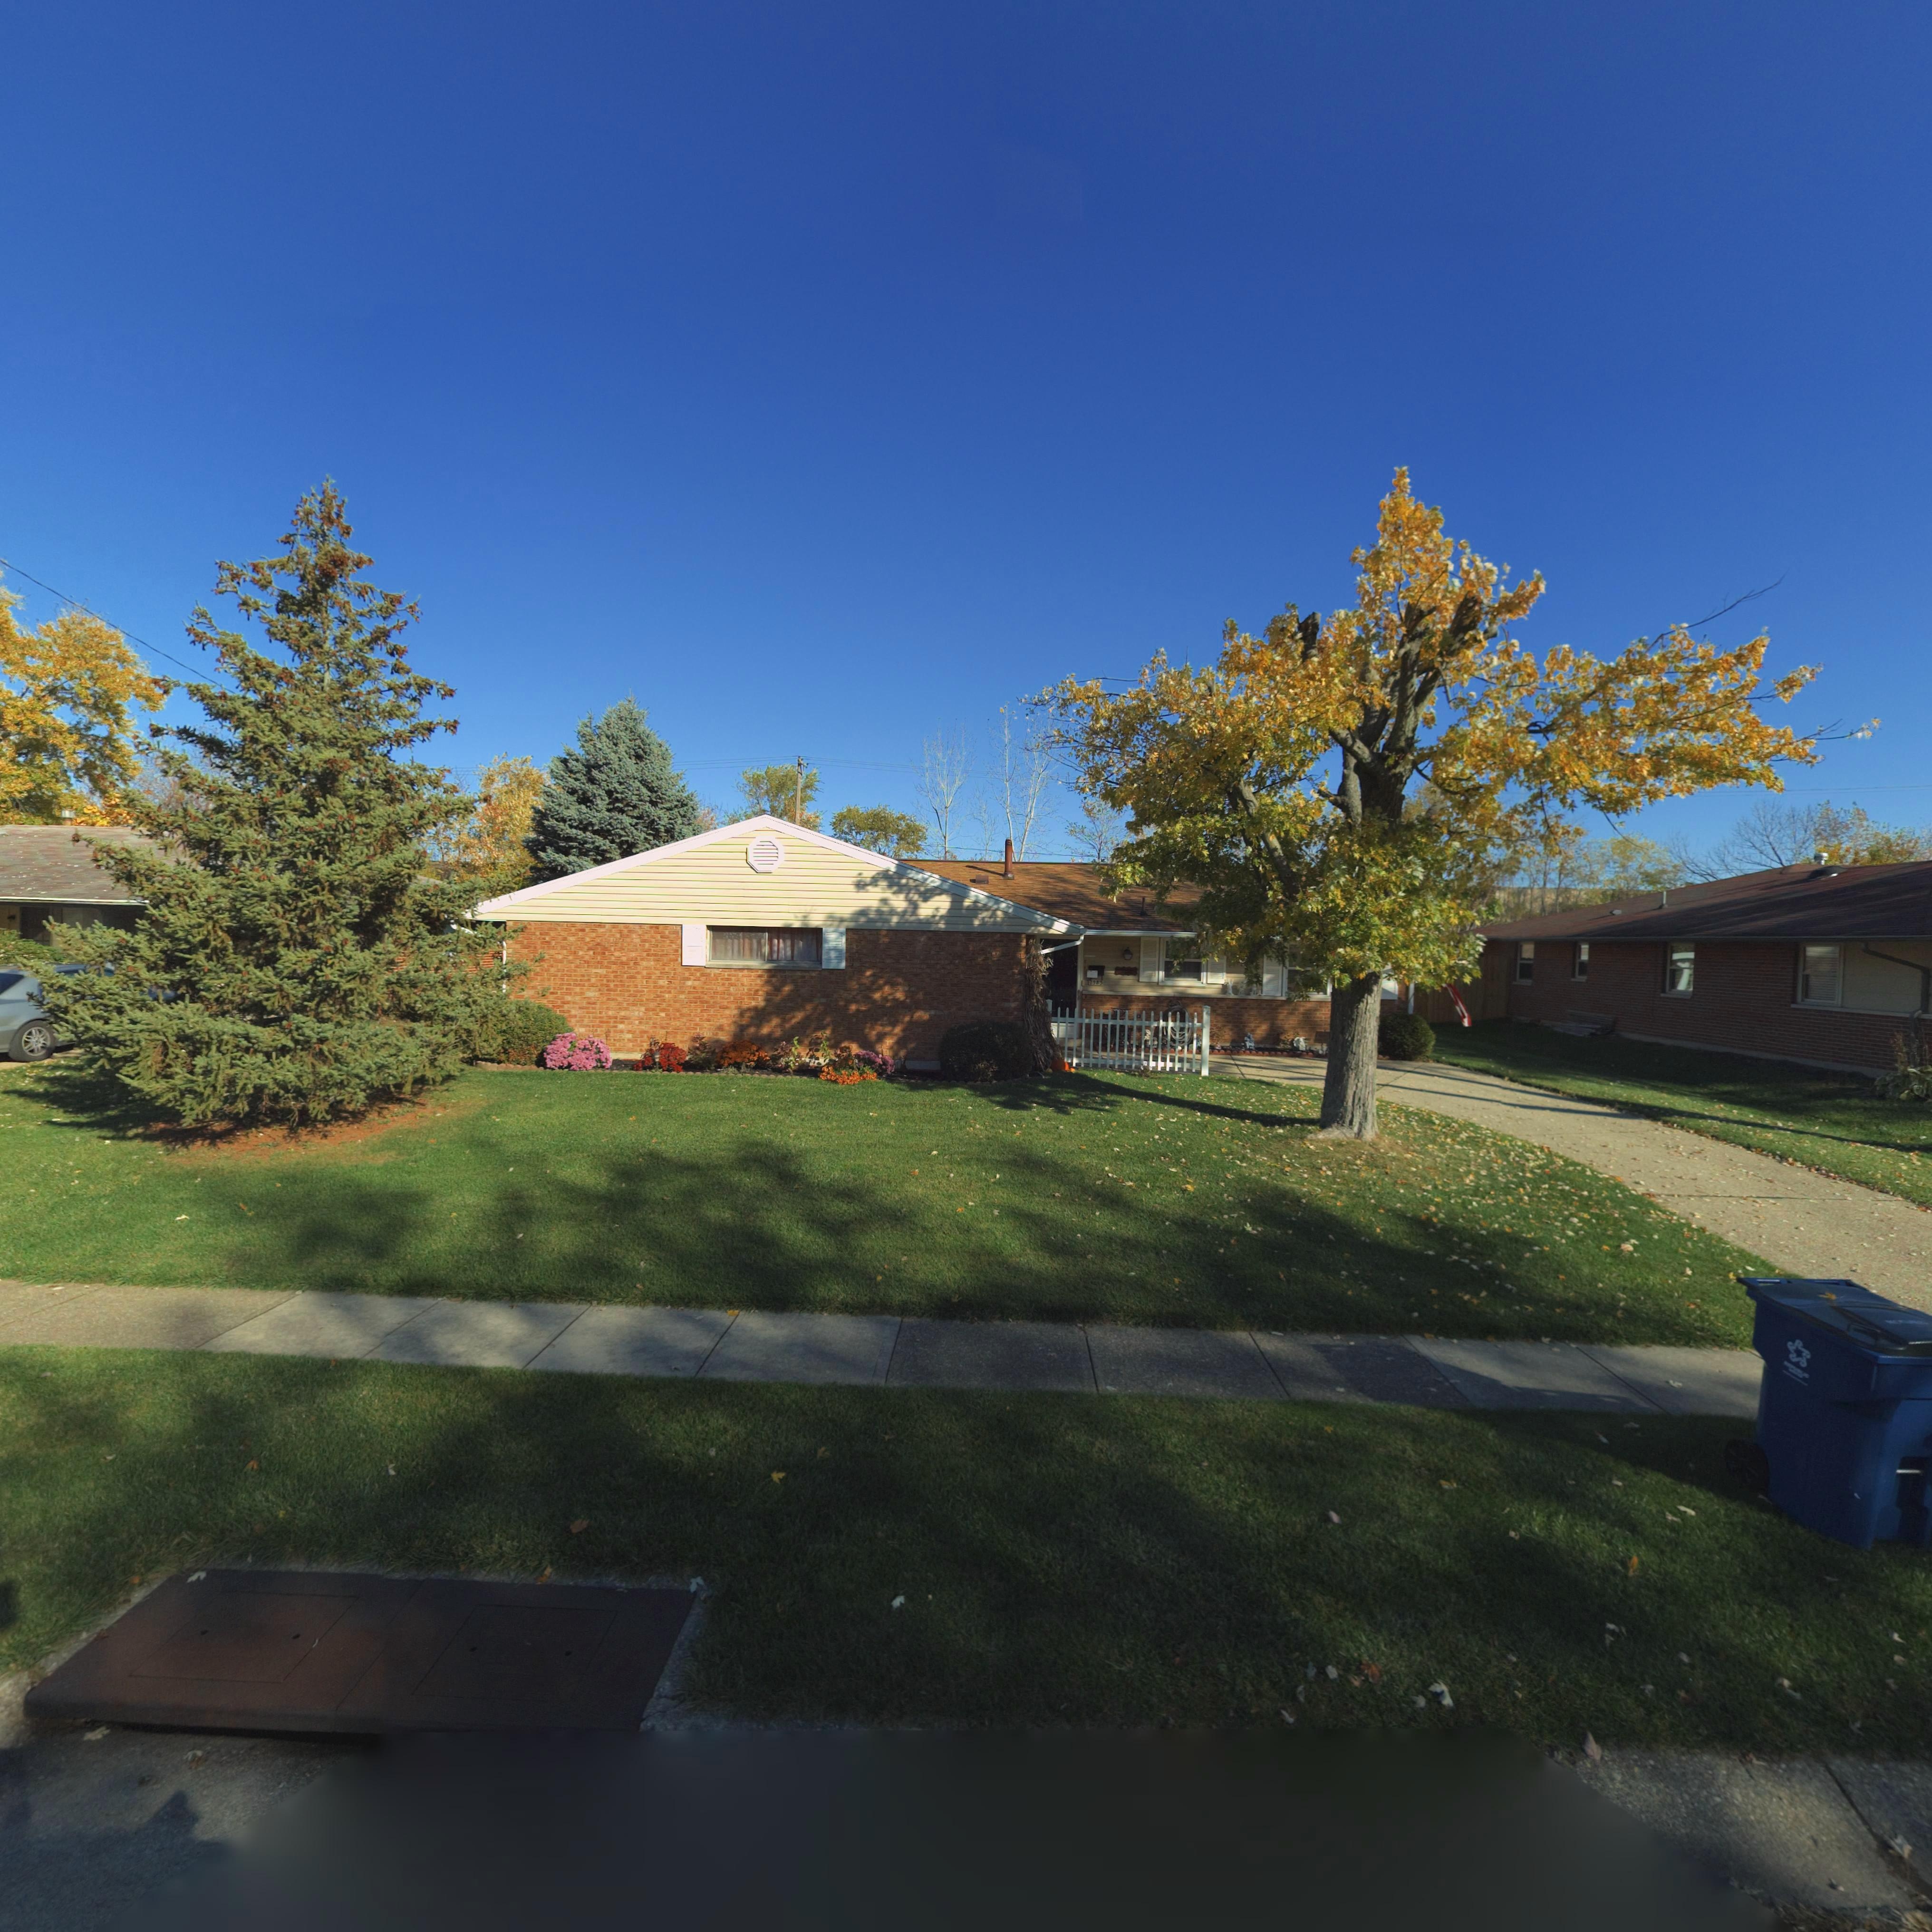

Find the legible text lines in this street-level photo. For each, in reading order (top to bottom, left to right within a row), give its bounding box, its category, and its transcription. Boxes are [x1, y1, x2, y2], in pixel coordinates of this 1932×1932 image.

[1089, 980, 1103, 985] StreetNumber: 7983